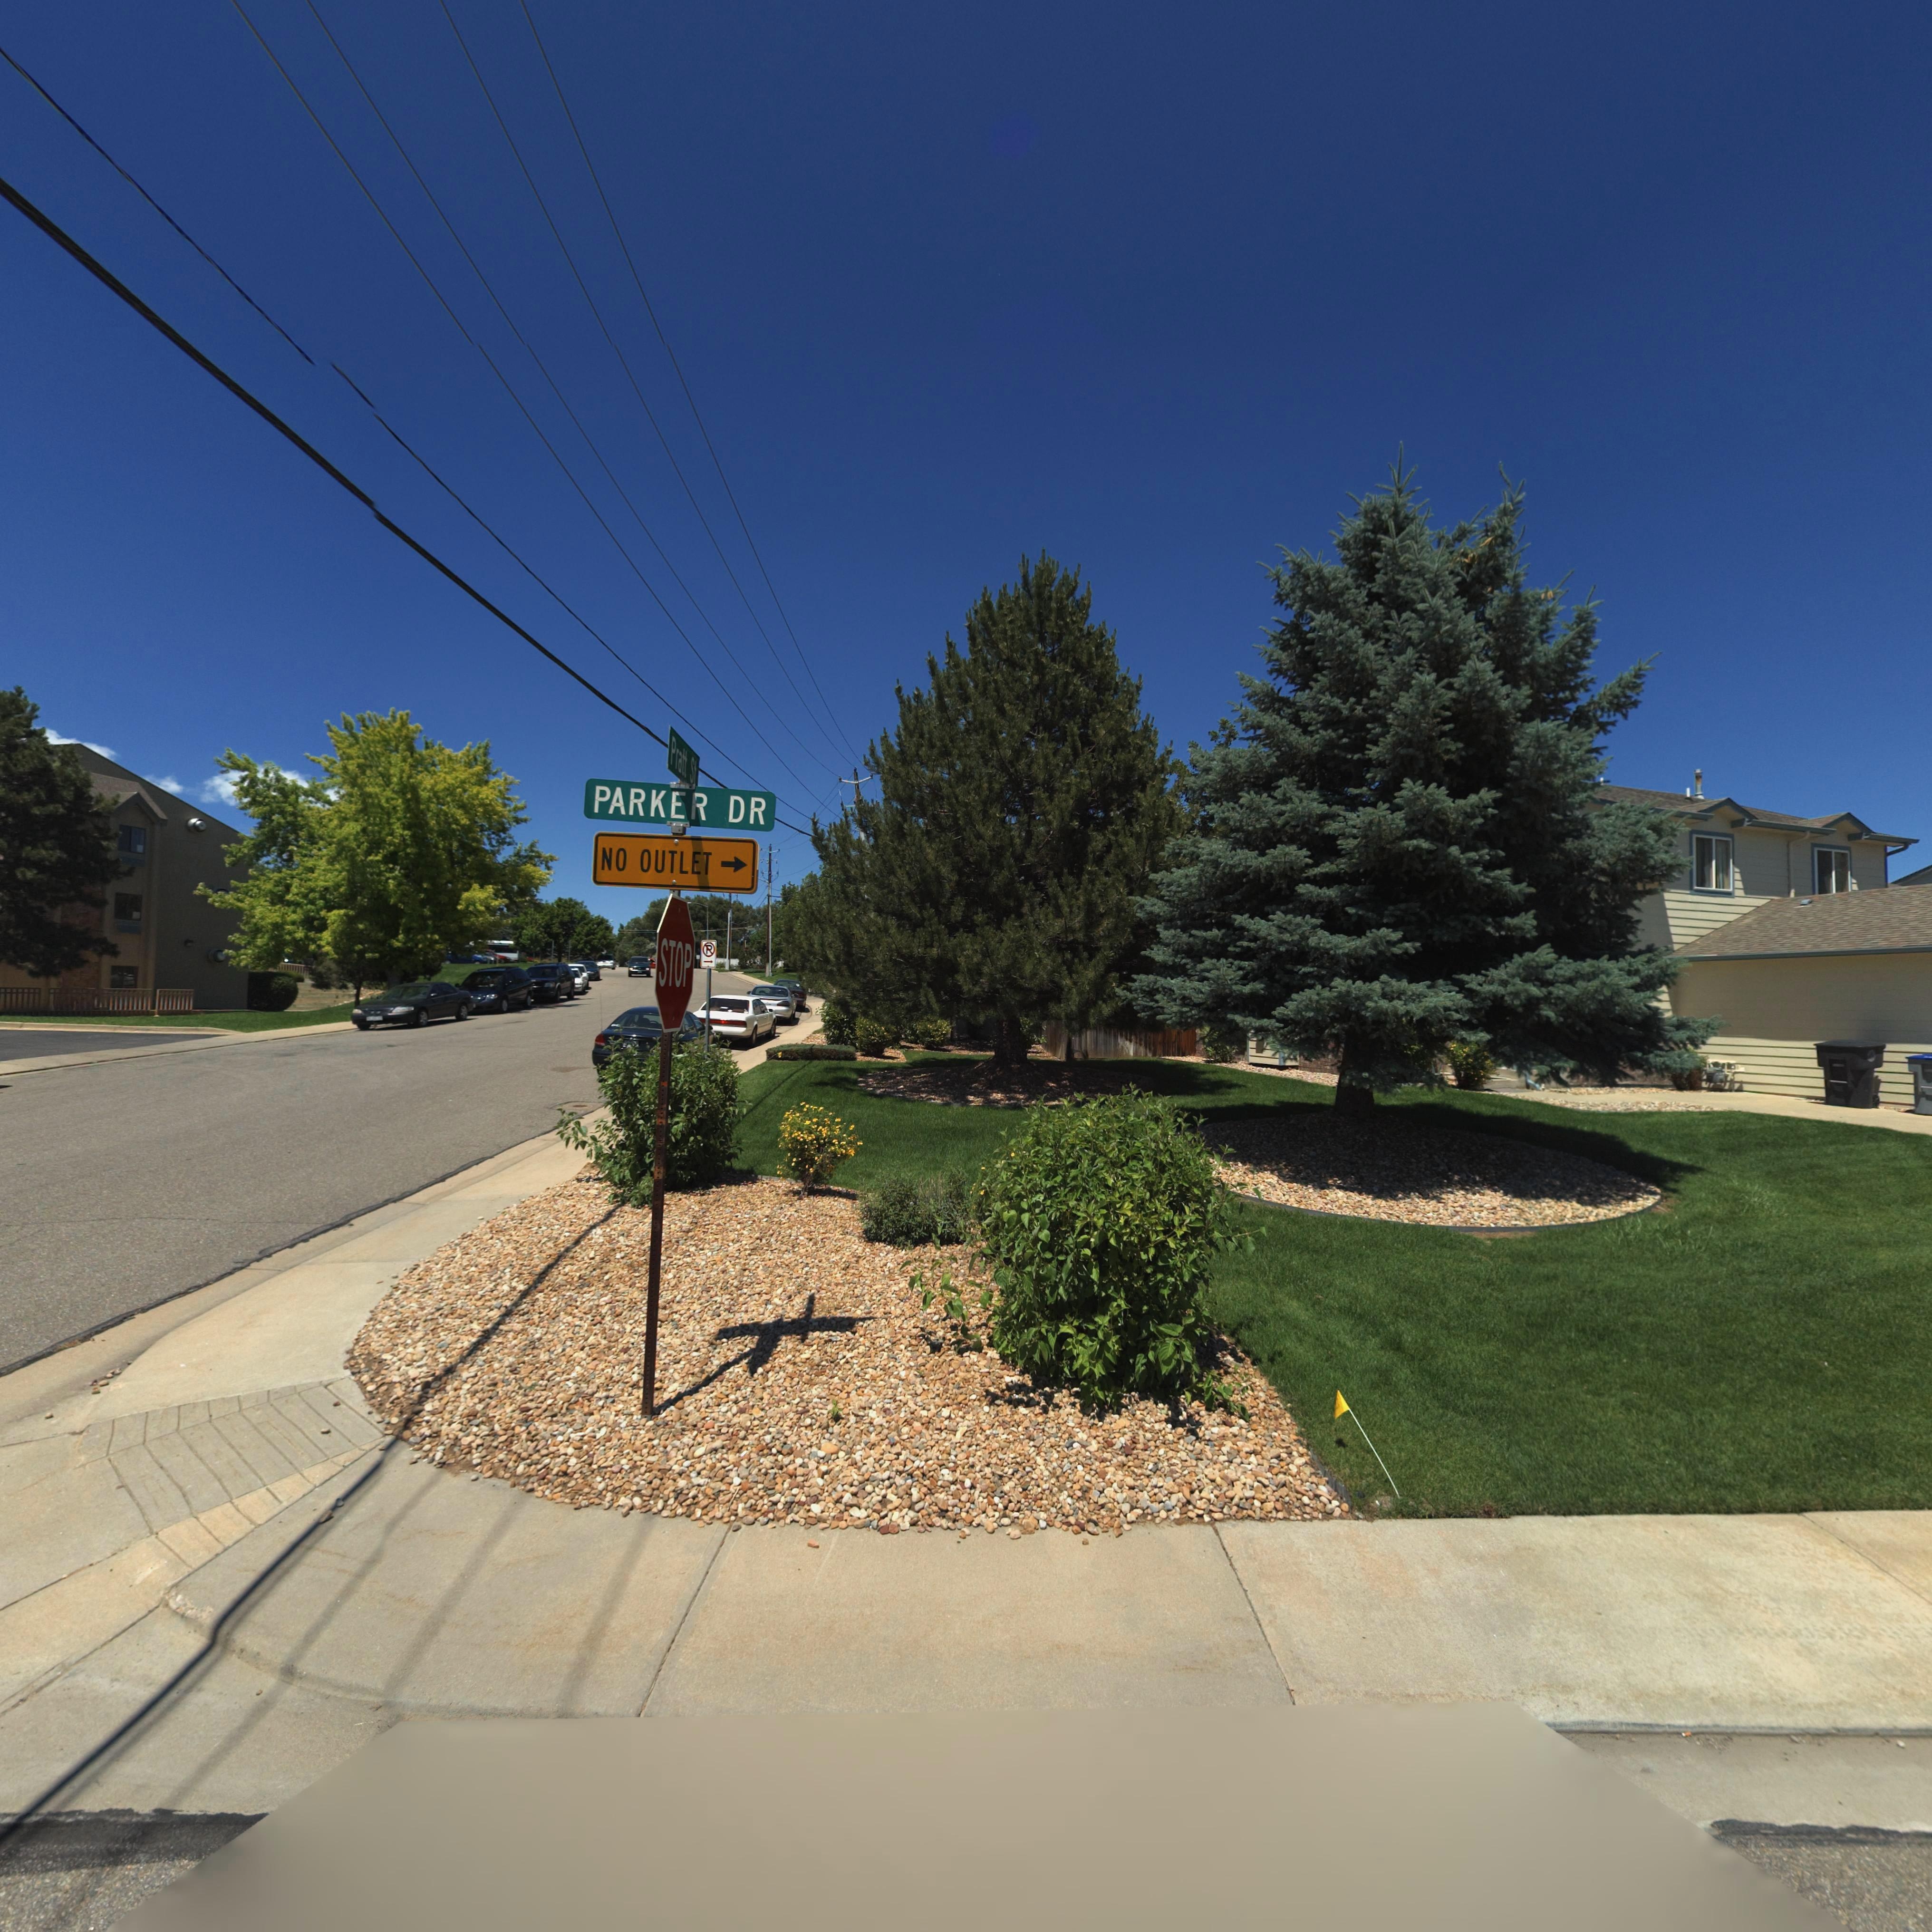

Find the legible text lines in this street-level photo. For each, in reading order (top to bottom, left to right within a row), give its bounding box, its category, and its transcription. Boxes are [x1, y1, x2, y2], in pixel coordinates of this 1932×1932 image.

[670, 735, 697, 786] StreetName: Pratt St
[593, 783, 766, 826] StreetName: PARKER DR